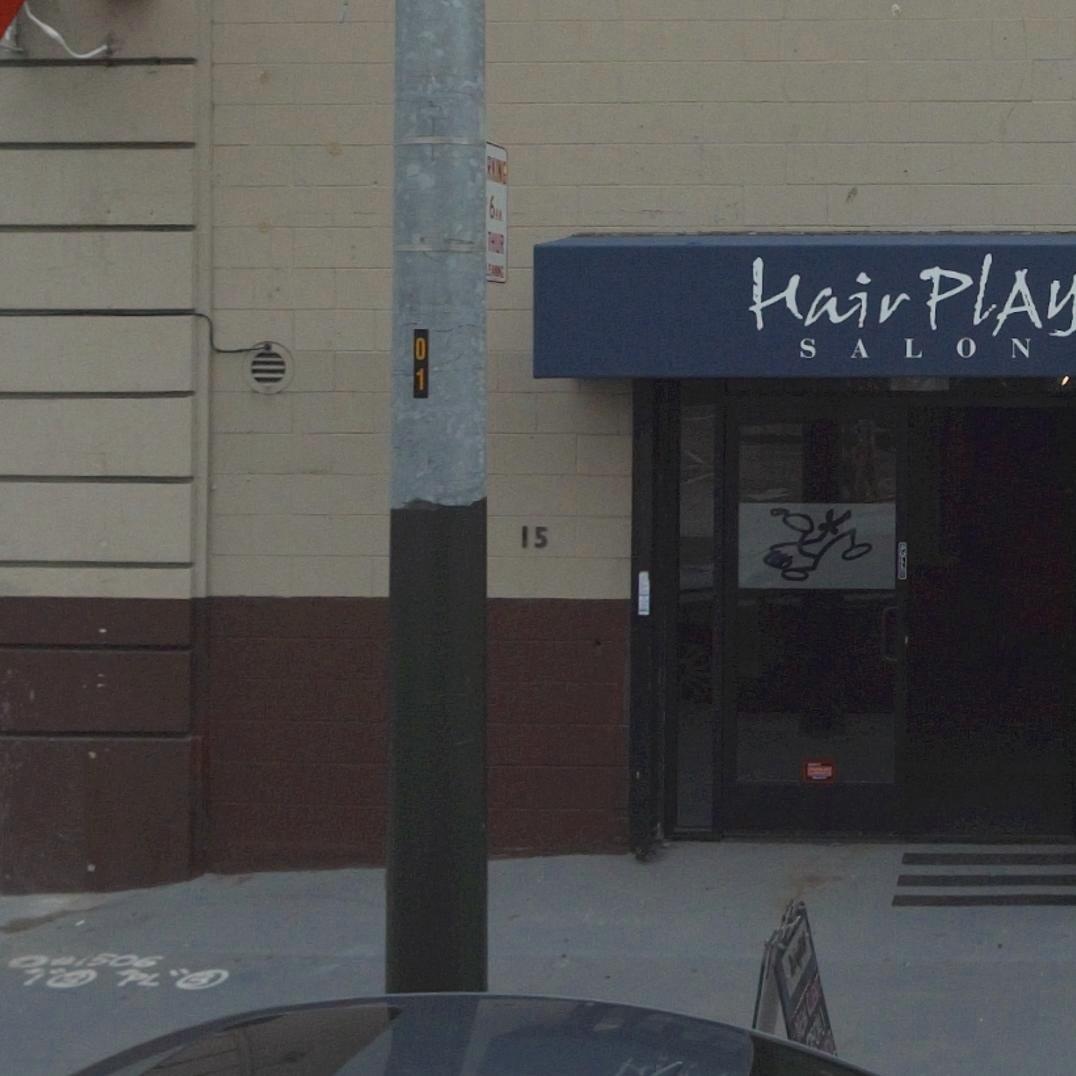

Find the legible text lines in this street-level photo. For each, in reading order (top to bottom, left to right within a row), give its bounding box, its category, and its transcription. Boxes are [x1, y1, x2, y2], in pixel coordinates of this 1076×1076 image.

[488, 193, 497, 221] None: 6
[746, 250, 1048, 338] BusinessName: Hair PLA
[798, 335, 1033, 361] BusinessName: SALON
[413, 335, 427, 392] None: 01
[520, 524, 550, 550] StreetNumber: 15
[4, 953, 50, 971] None: 0
[83, 951, 165, 971] None: 506
[113, 970, 163, 989] None: PL